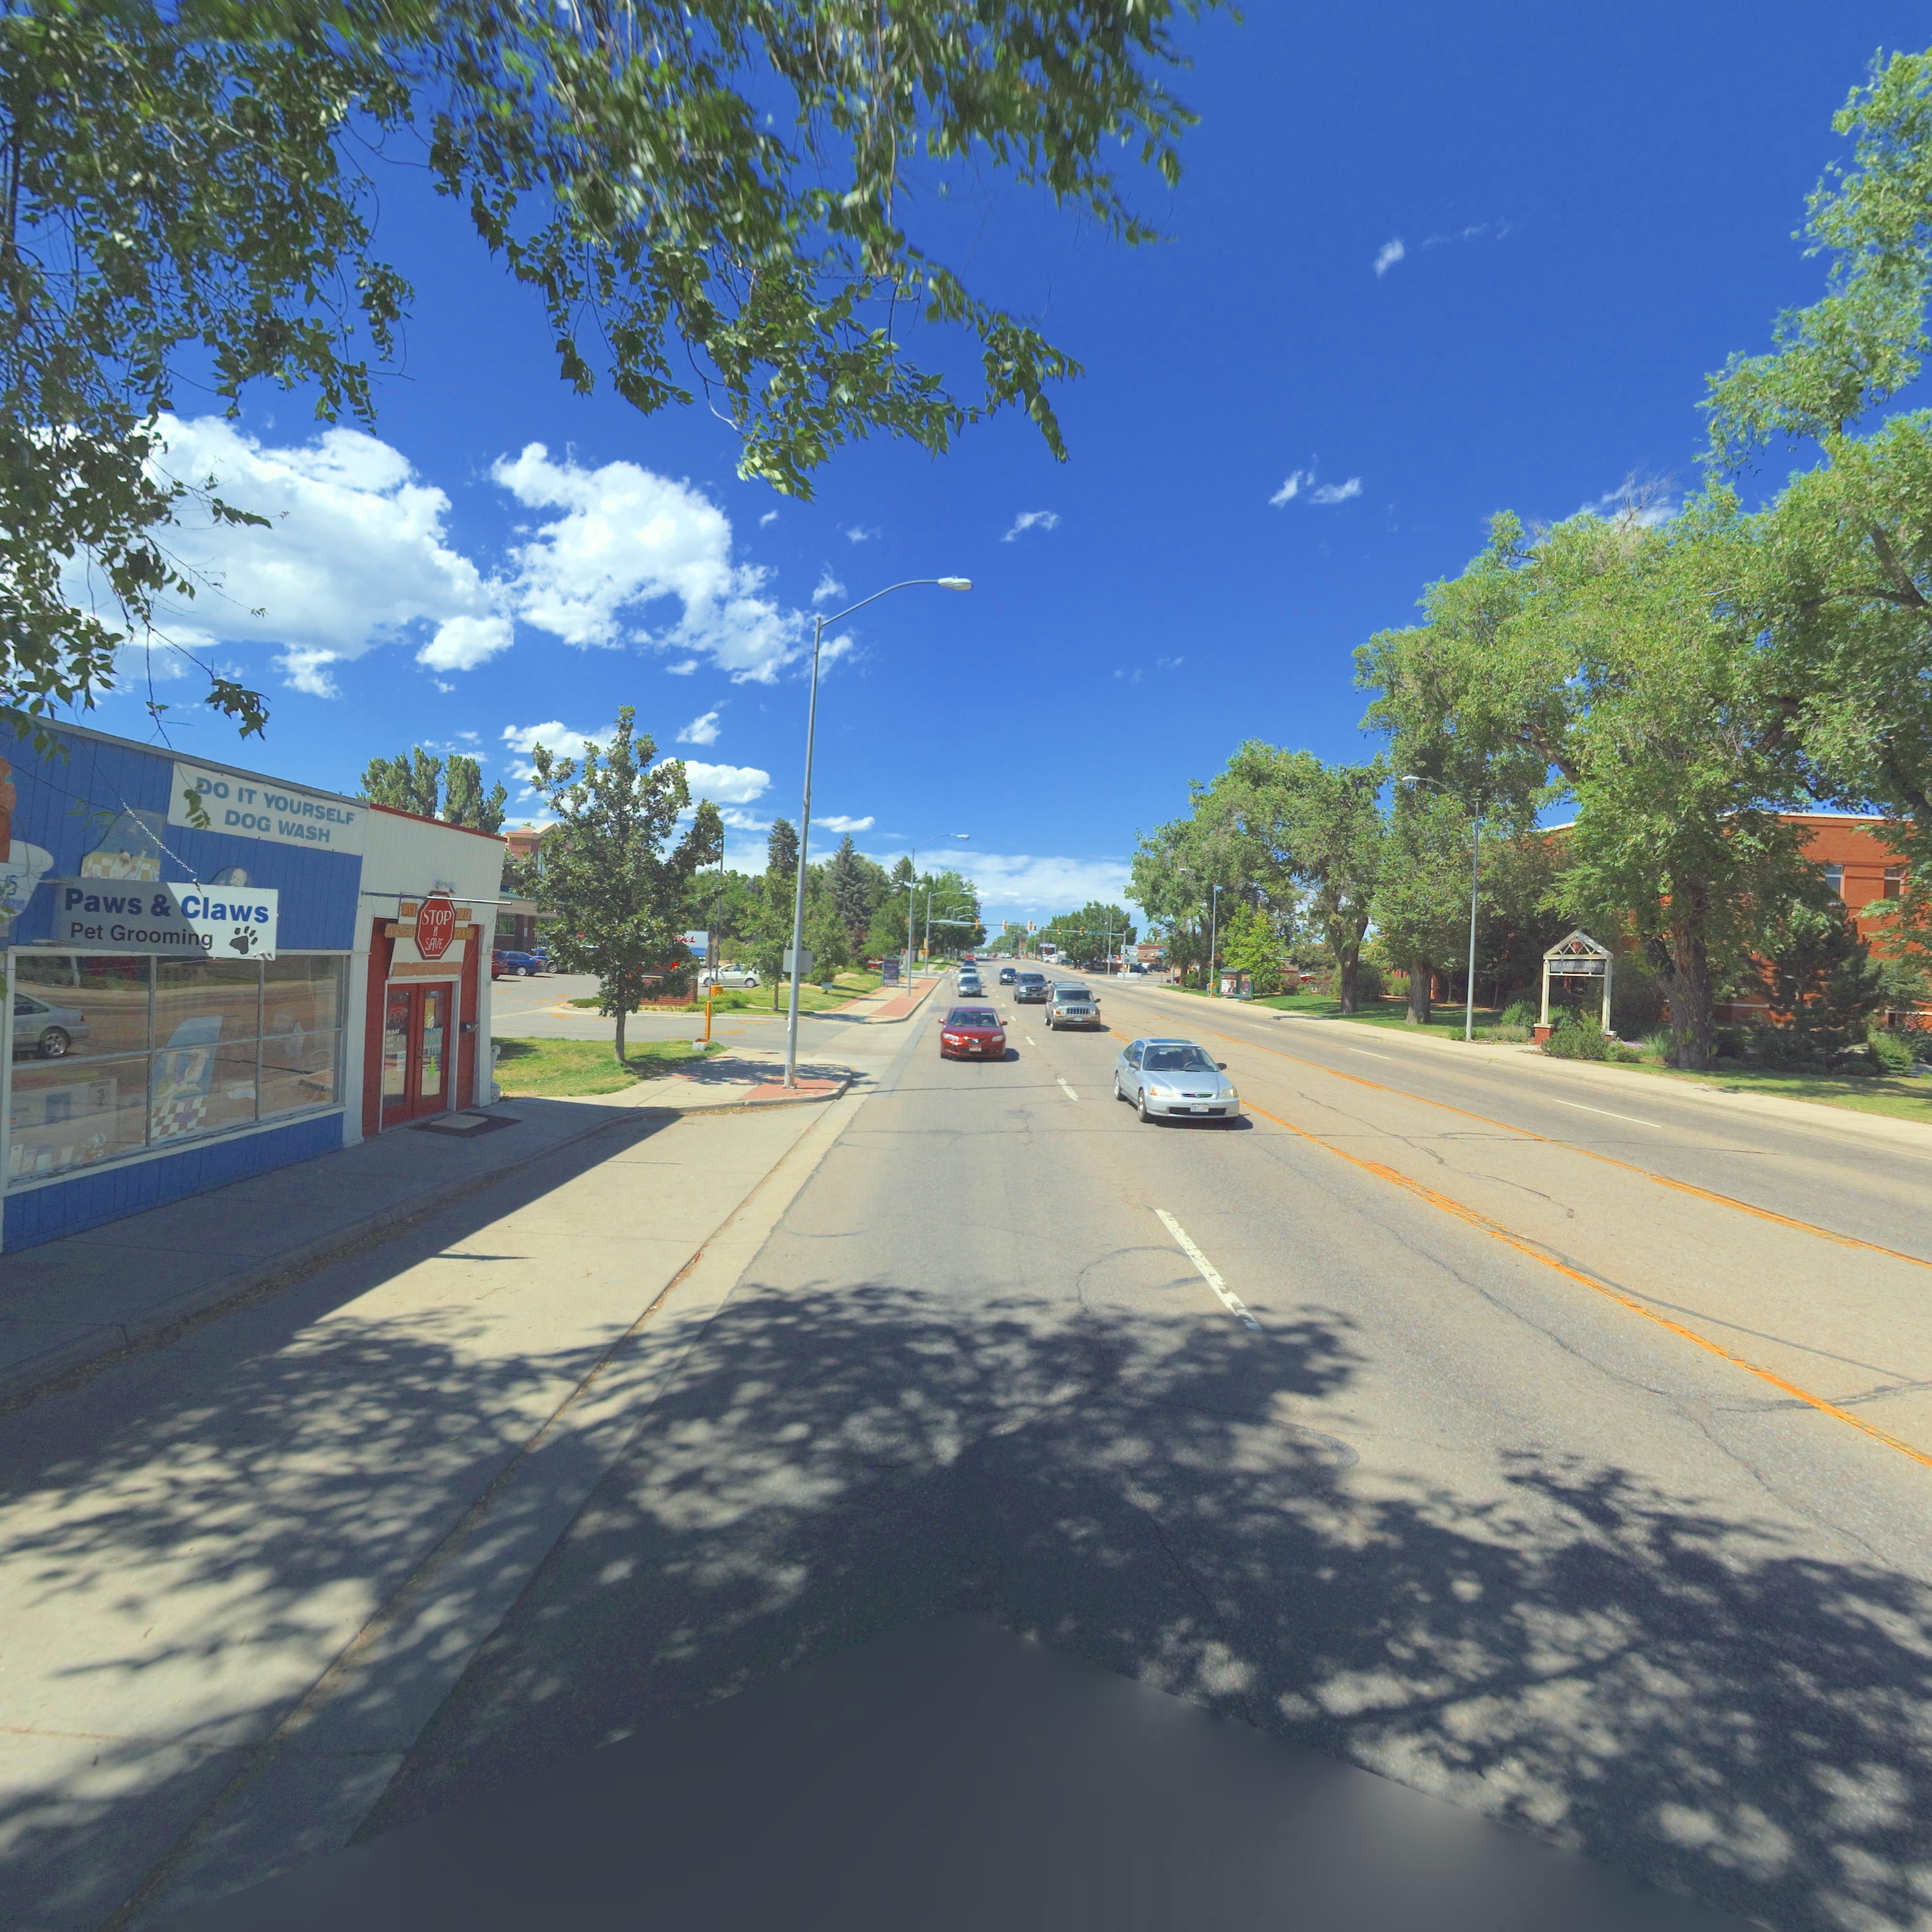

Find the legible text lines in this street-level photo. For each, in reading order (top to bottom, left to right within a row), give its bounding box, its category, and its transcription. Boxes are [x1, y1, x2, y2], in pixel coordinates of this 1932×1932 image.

[65, 887, 269, 923] BusinessName: Paws & Claws
[421, 909, 451, 925] BusinessName: STOP
[433, 926, 438, 936] BusinessName: n
[425, 937, 444, 951] BusinessName: SAVE
[674, 935, 696, 943] BusinessName: ens